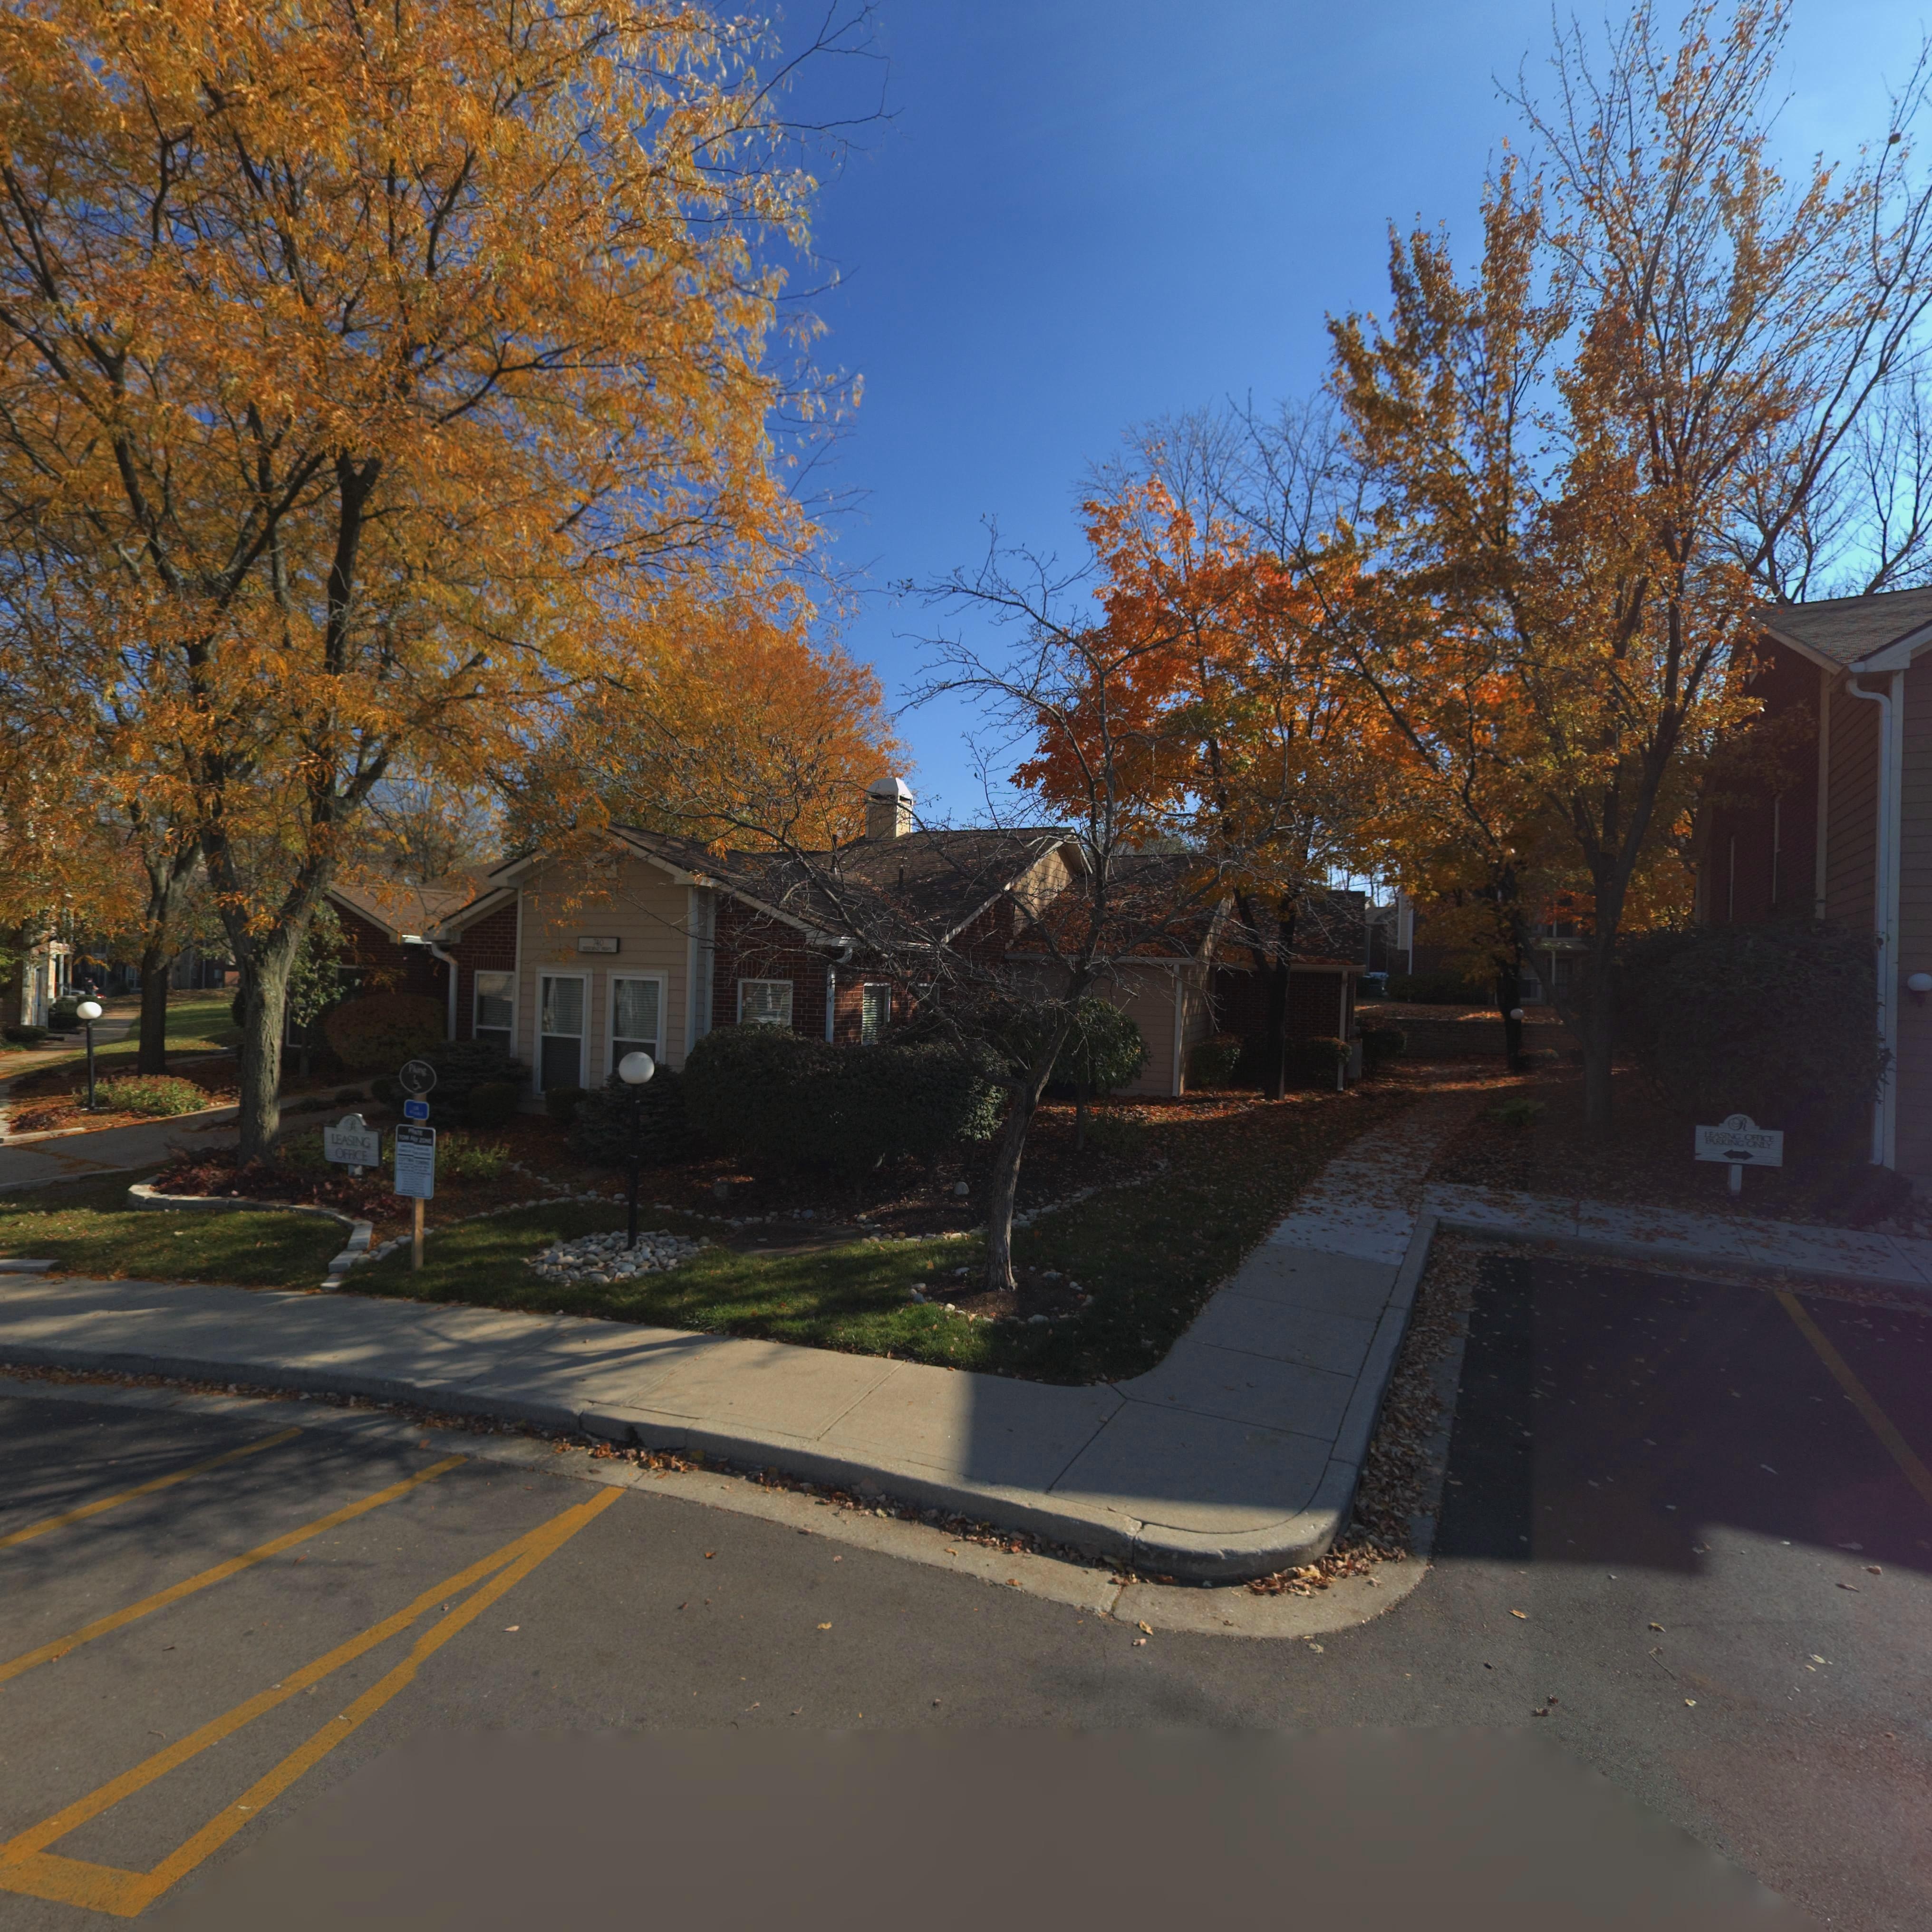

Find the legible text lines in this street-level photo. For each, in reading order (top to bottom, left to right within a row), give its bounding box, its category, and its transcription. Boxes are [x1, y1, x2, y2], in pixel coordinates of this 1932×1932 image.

[592, 938, 604, 947] StreetNumber: 740
[330, 1132, 371, 1149] None: LEASING
[1704, 1137, 1773, 1150] None: *ARKING ONLY
[1704, 1130, 1775, 1142] None: LEASING OFFICE
[335, 1147, 368, 1162] None: OFFICE